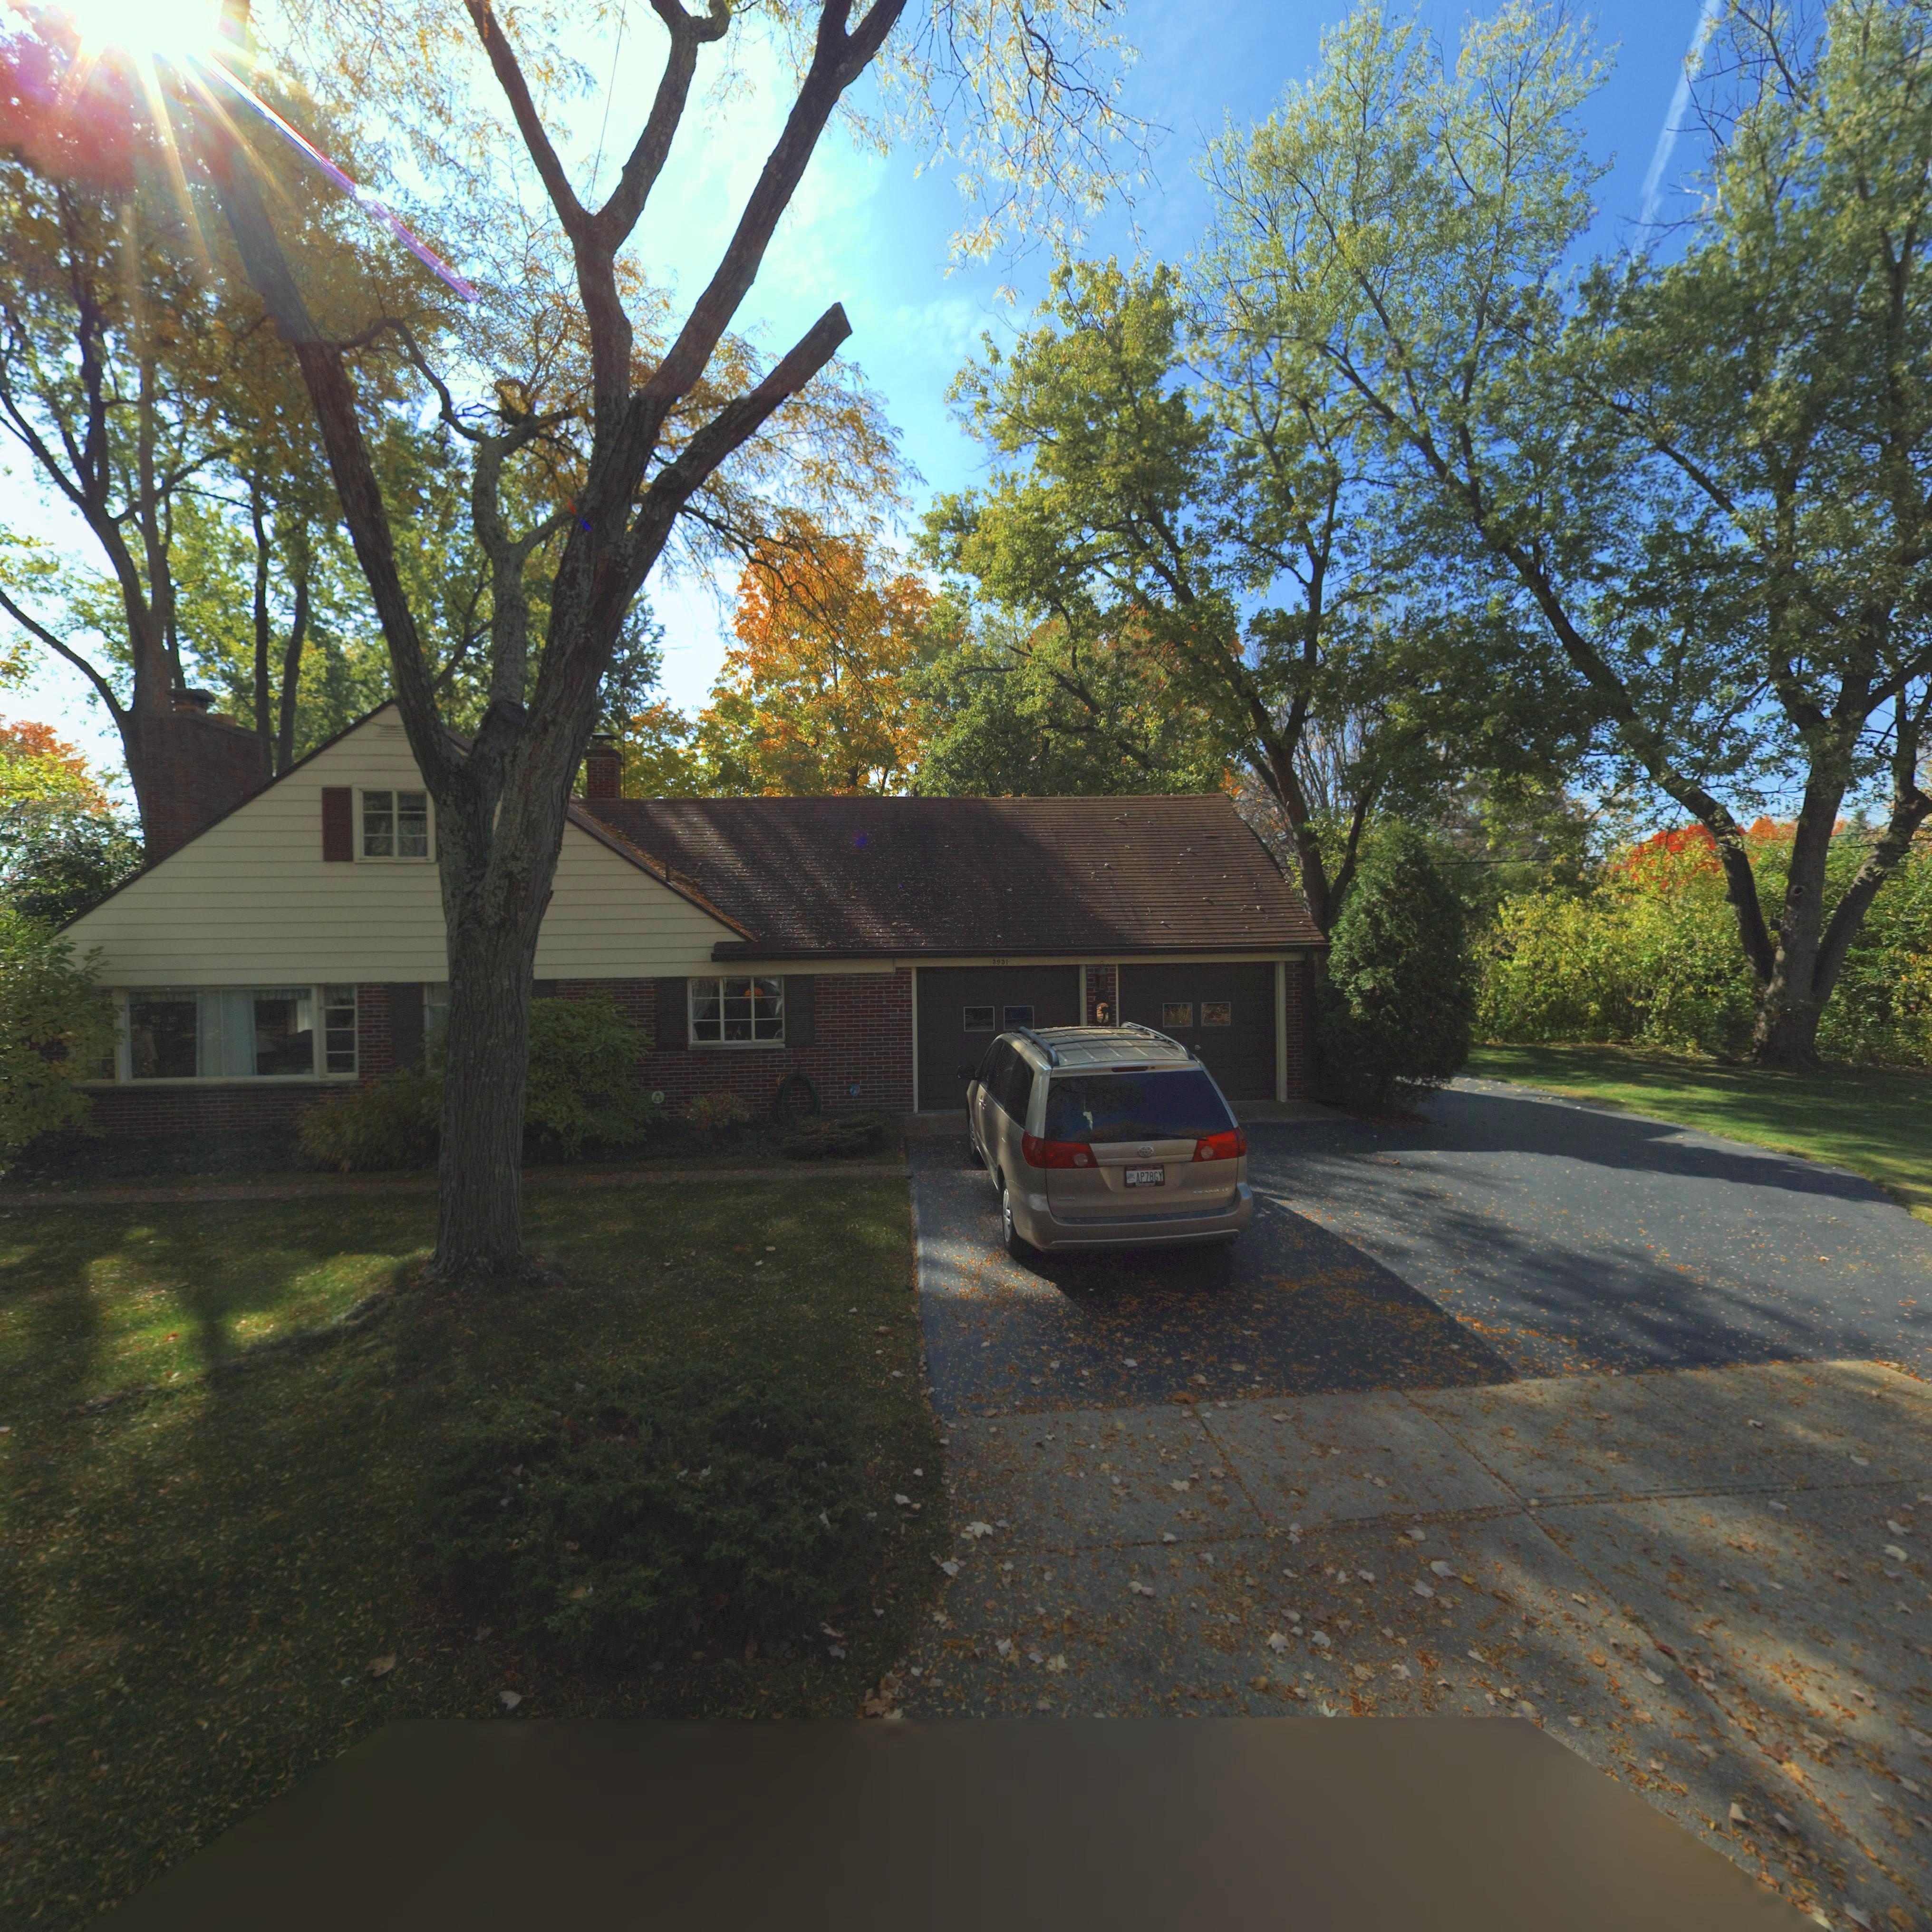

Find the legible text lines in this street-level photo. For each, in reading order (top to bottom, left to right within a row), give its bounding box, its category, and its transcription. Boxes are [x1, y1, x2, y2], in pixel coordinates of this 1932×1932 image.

[991, 958, 1009, 966] StreetNumber: 3951
[1135, 1170, 1164, 1184] None: AP78GY